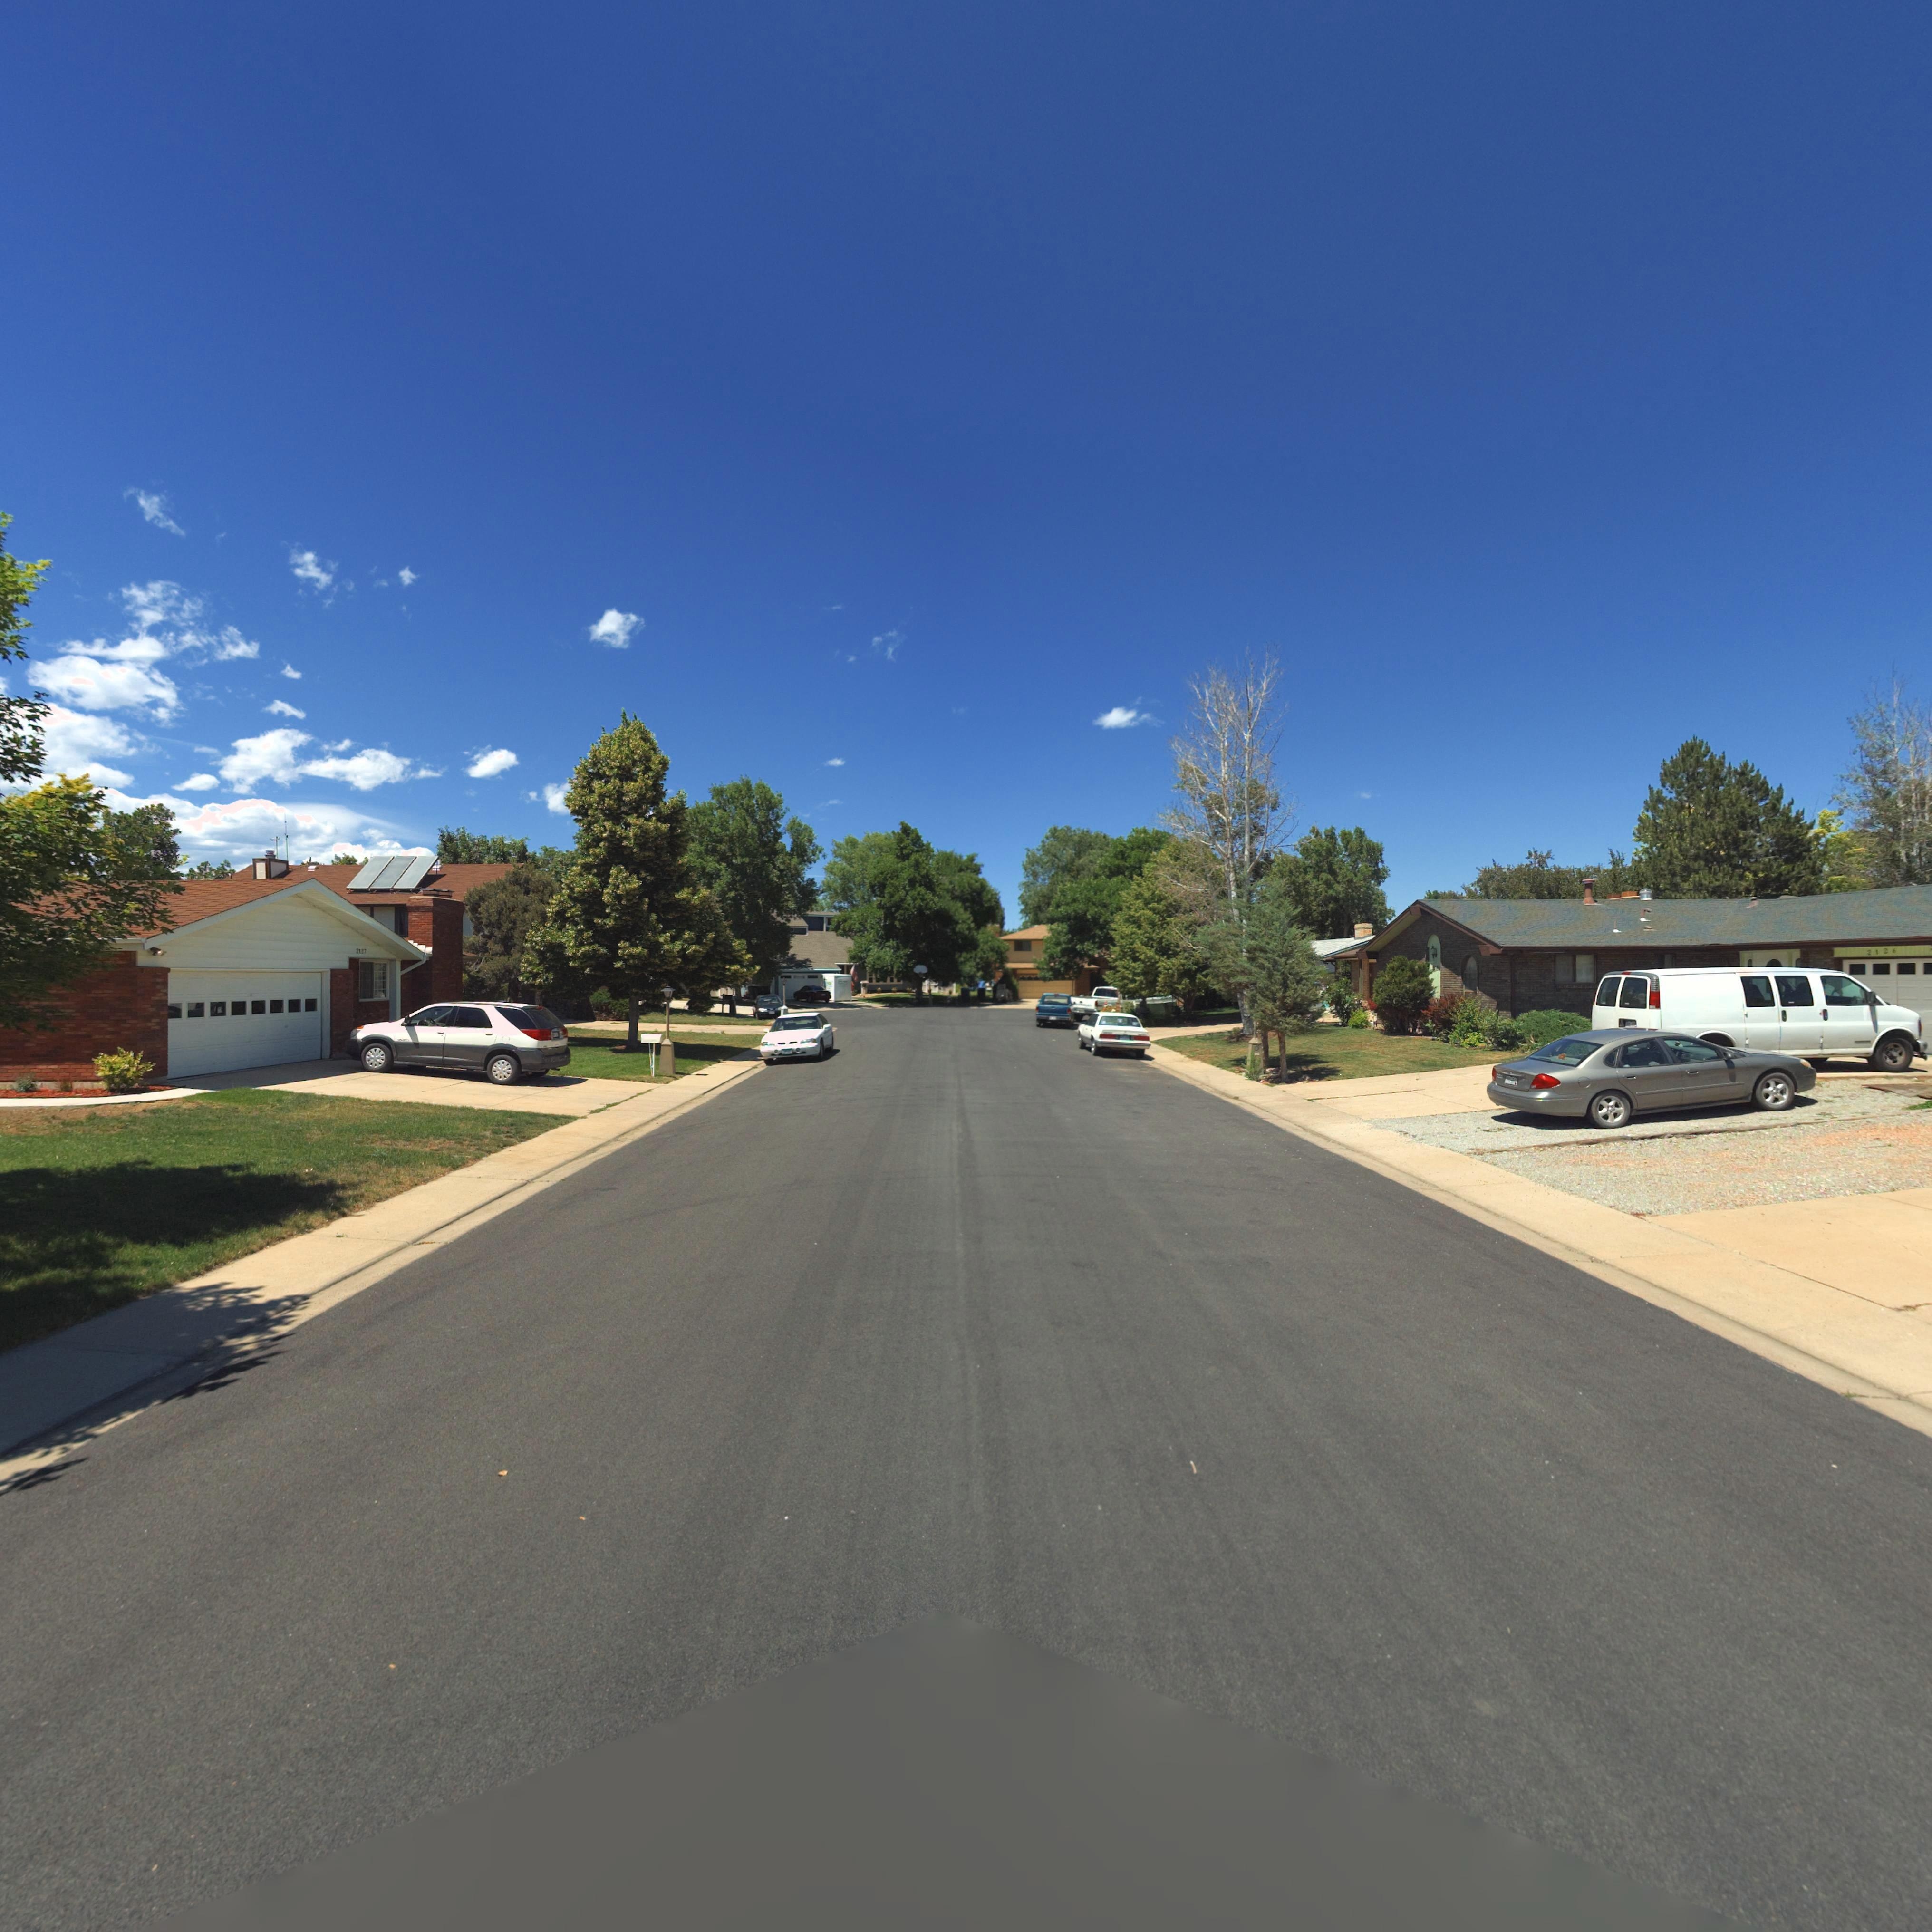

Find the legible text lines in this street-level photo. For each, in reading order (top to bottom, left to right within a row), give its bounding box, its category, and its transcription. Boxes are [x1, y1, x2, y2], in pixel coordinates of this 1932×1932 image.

[355, 948, 367, 954] StreetNumber: 2127
[1866, 947, 1896, 956] StreetNumber: 2126
[1432, 965, 1440, 972] StreetNumber: **2*